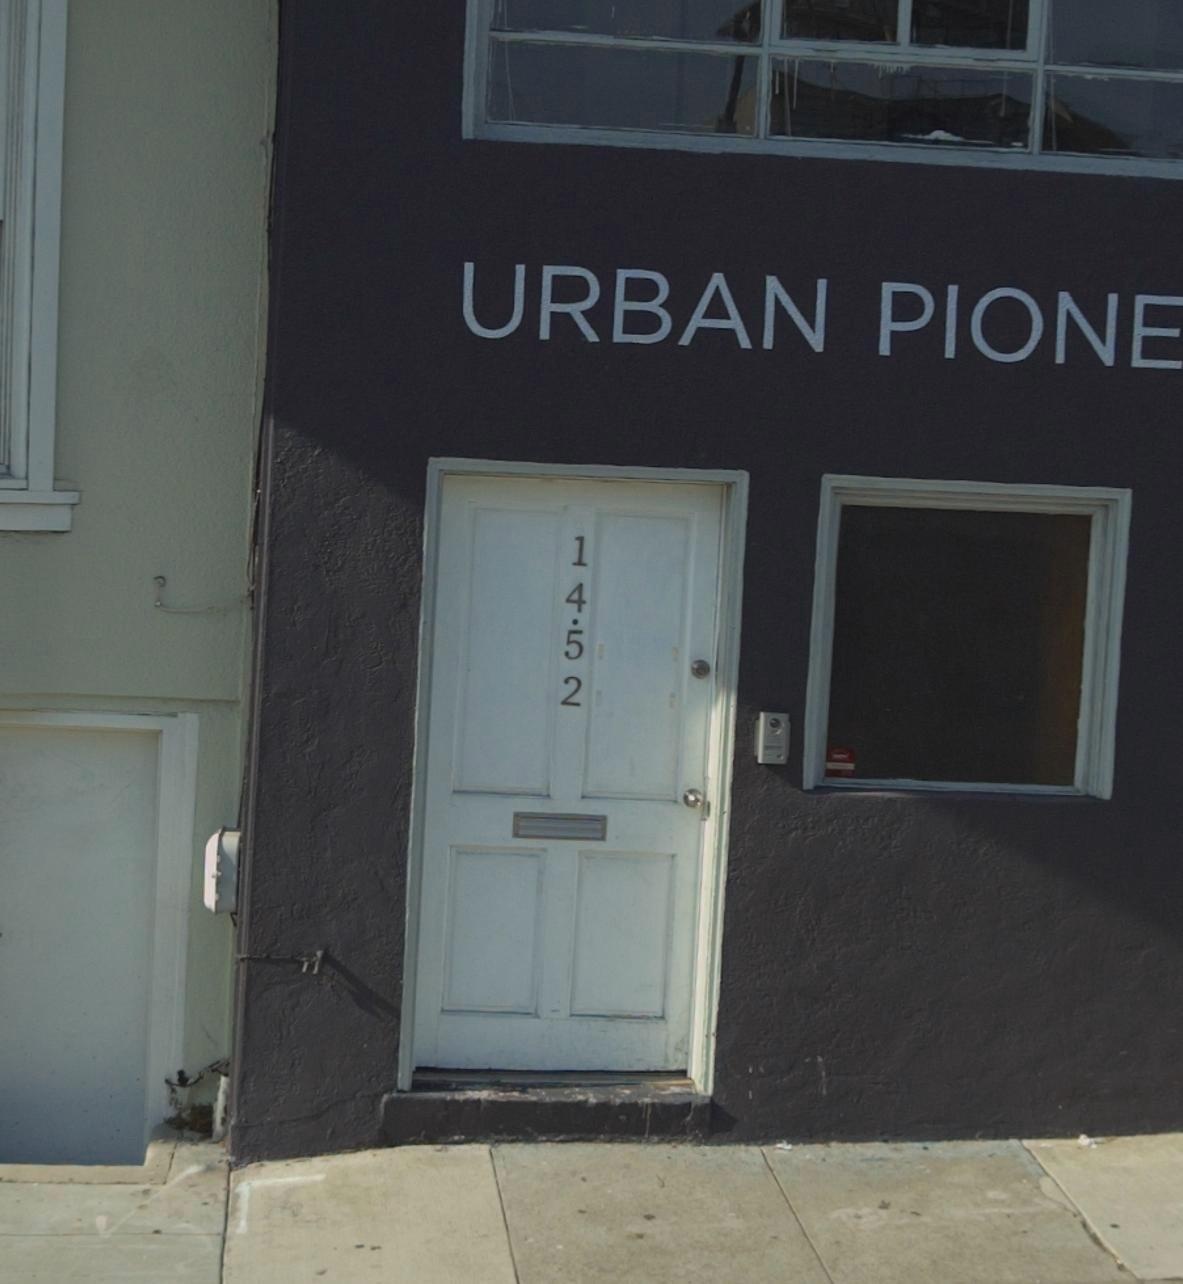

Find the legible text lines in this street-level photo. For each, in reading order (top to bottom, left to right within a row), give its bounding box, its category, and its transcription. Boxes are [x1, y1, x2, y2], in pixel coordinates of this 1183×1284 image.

[458, 250, 1183, 373] BusinessName: URBAN PIONE
[556, 528, 594, 711] StreetNumber: 1452